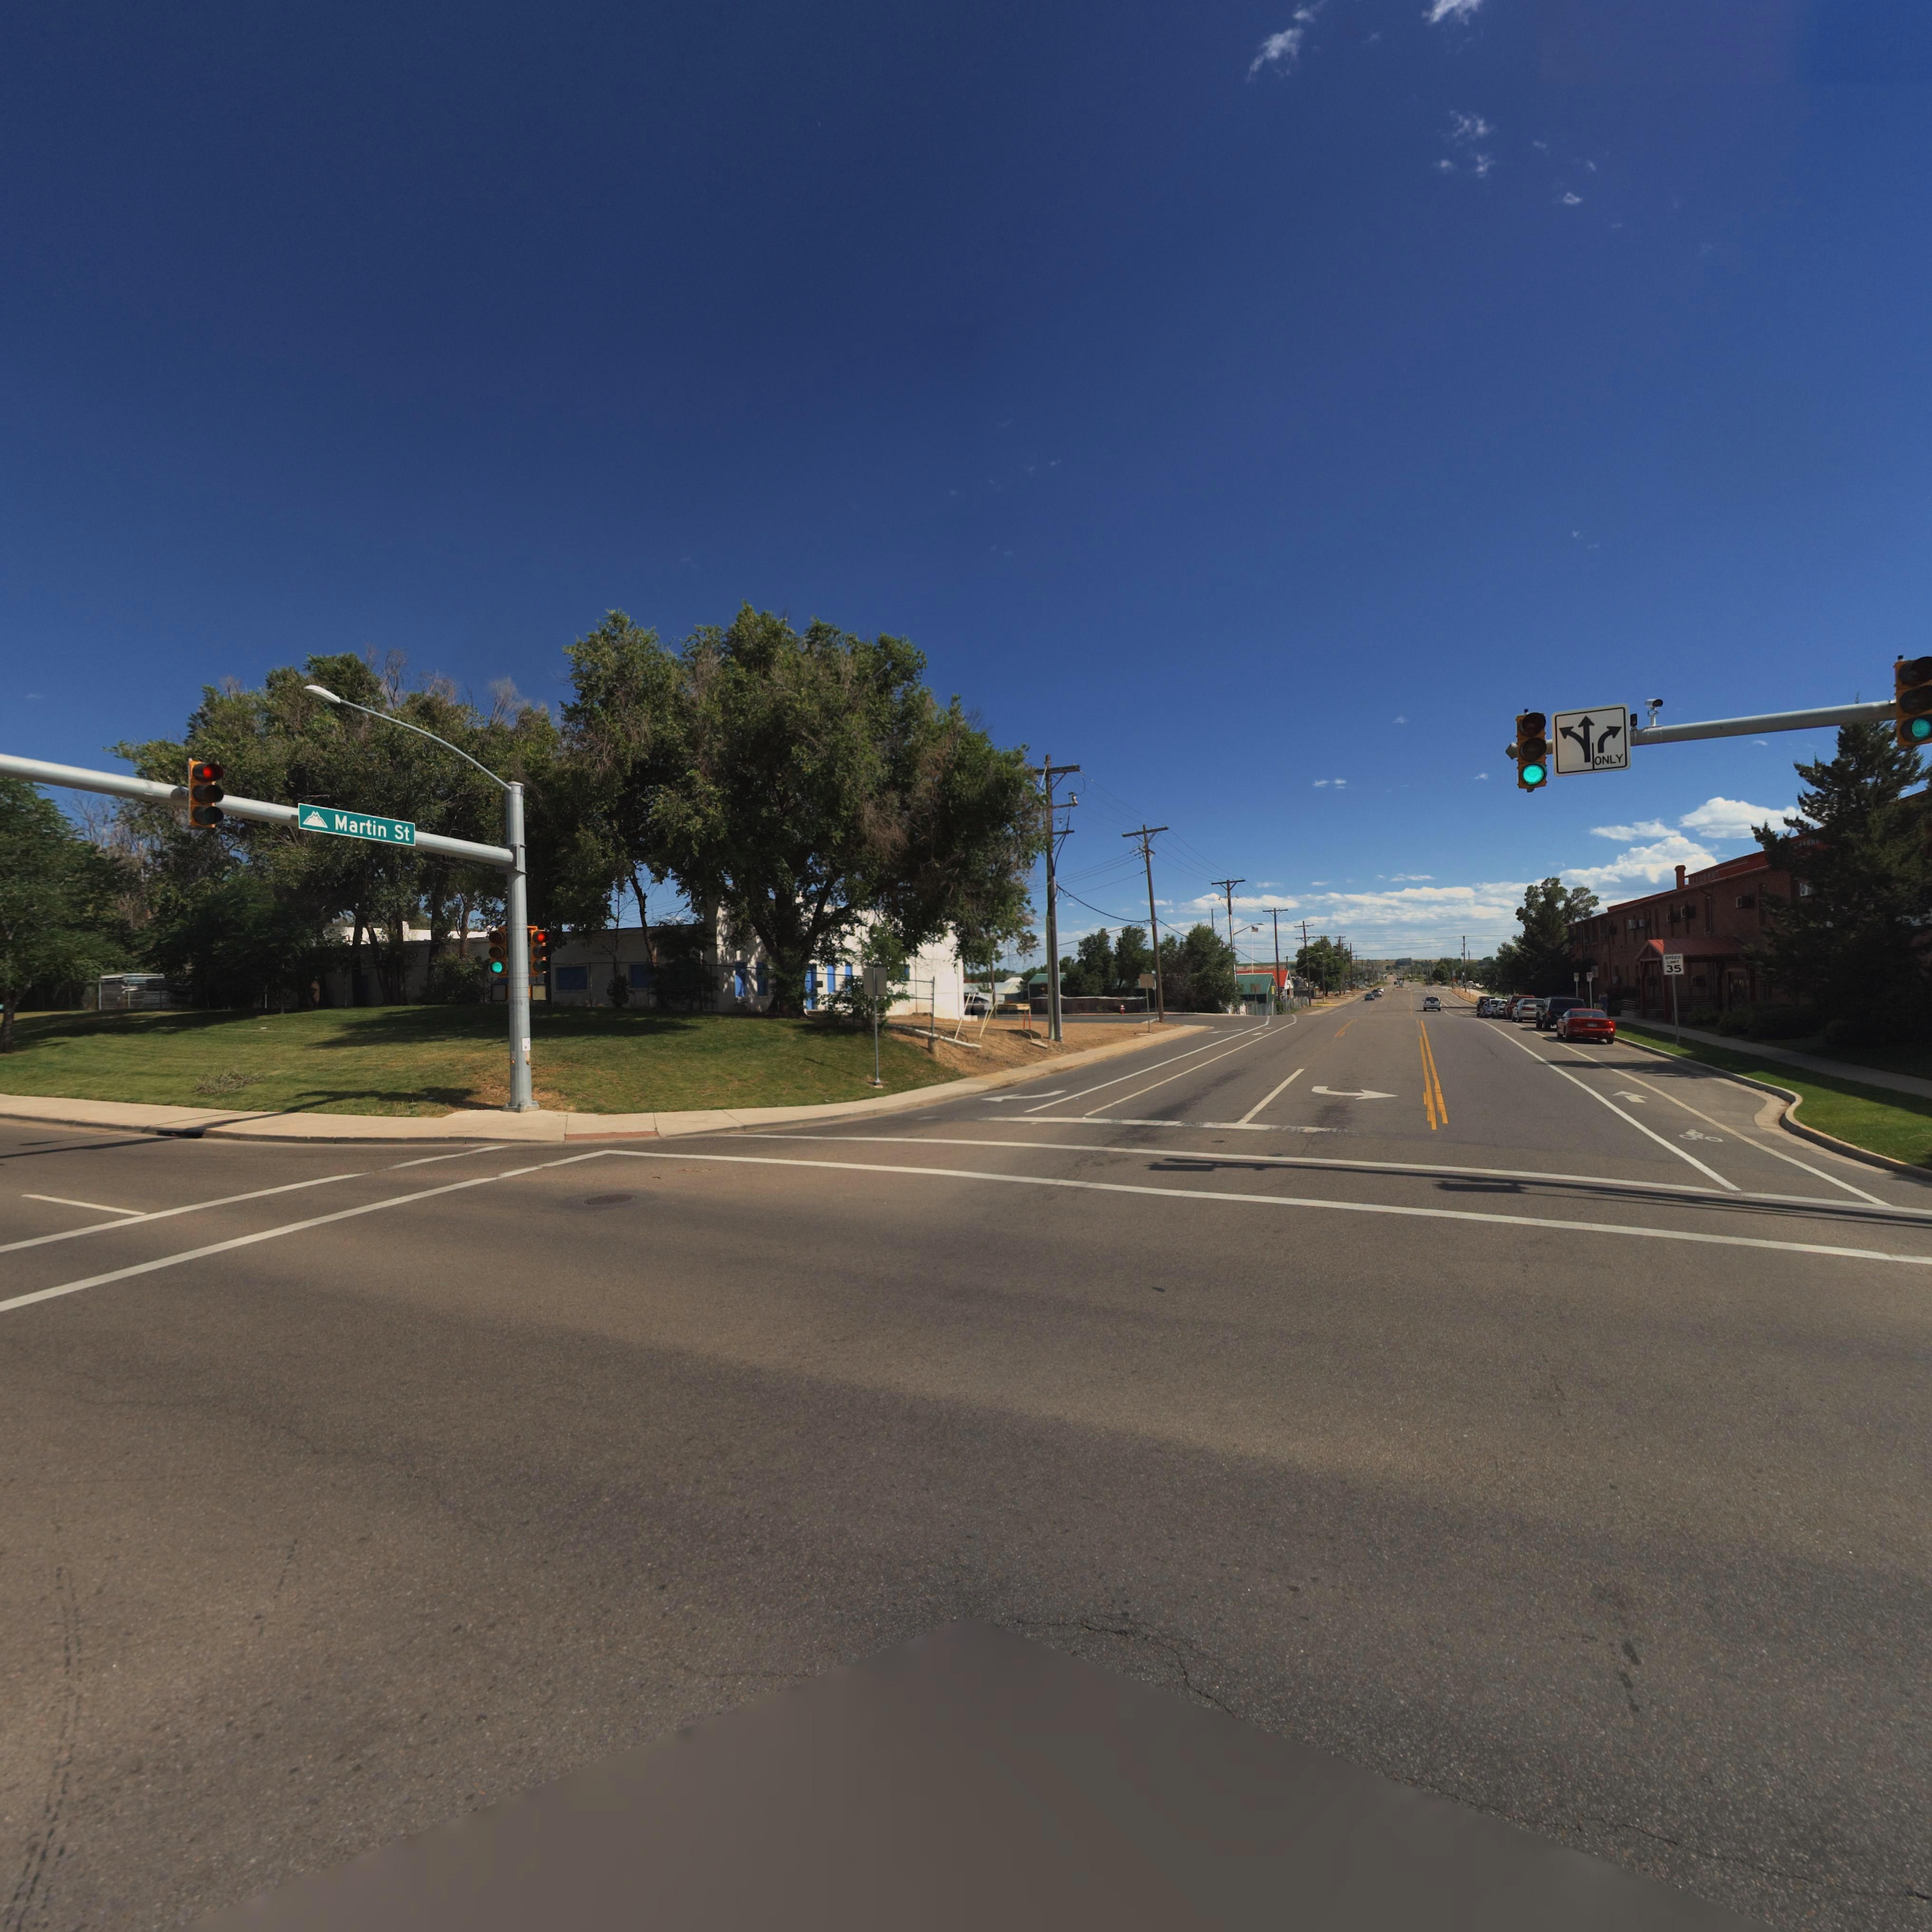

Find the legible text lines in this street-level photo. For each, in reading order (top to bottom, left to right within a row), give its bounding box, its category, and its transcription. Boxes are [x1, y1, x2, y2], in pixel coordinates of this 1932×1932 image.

[335, 813, 410, 841] StreetName: Martin St